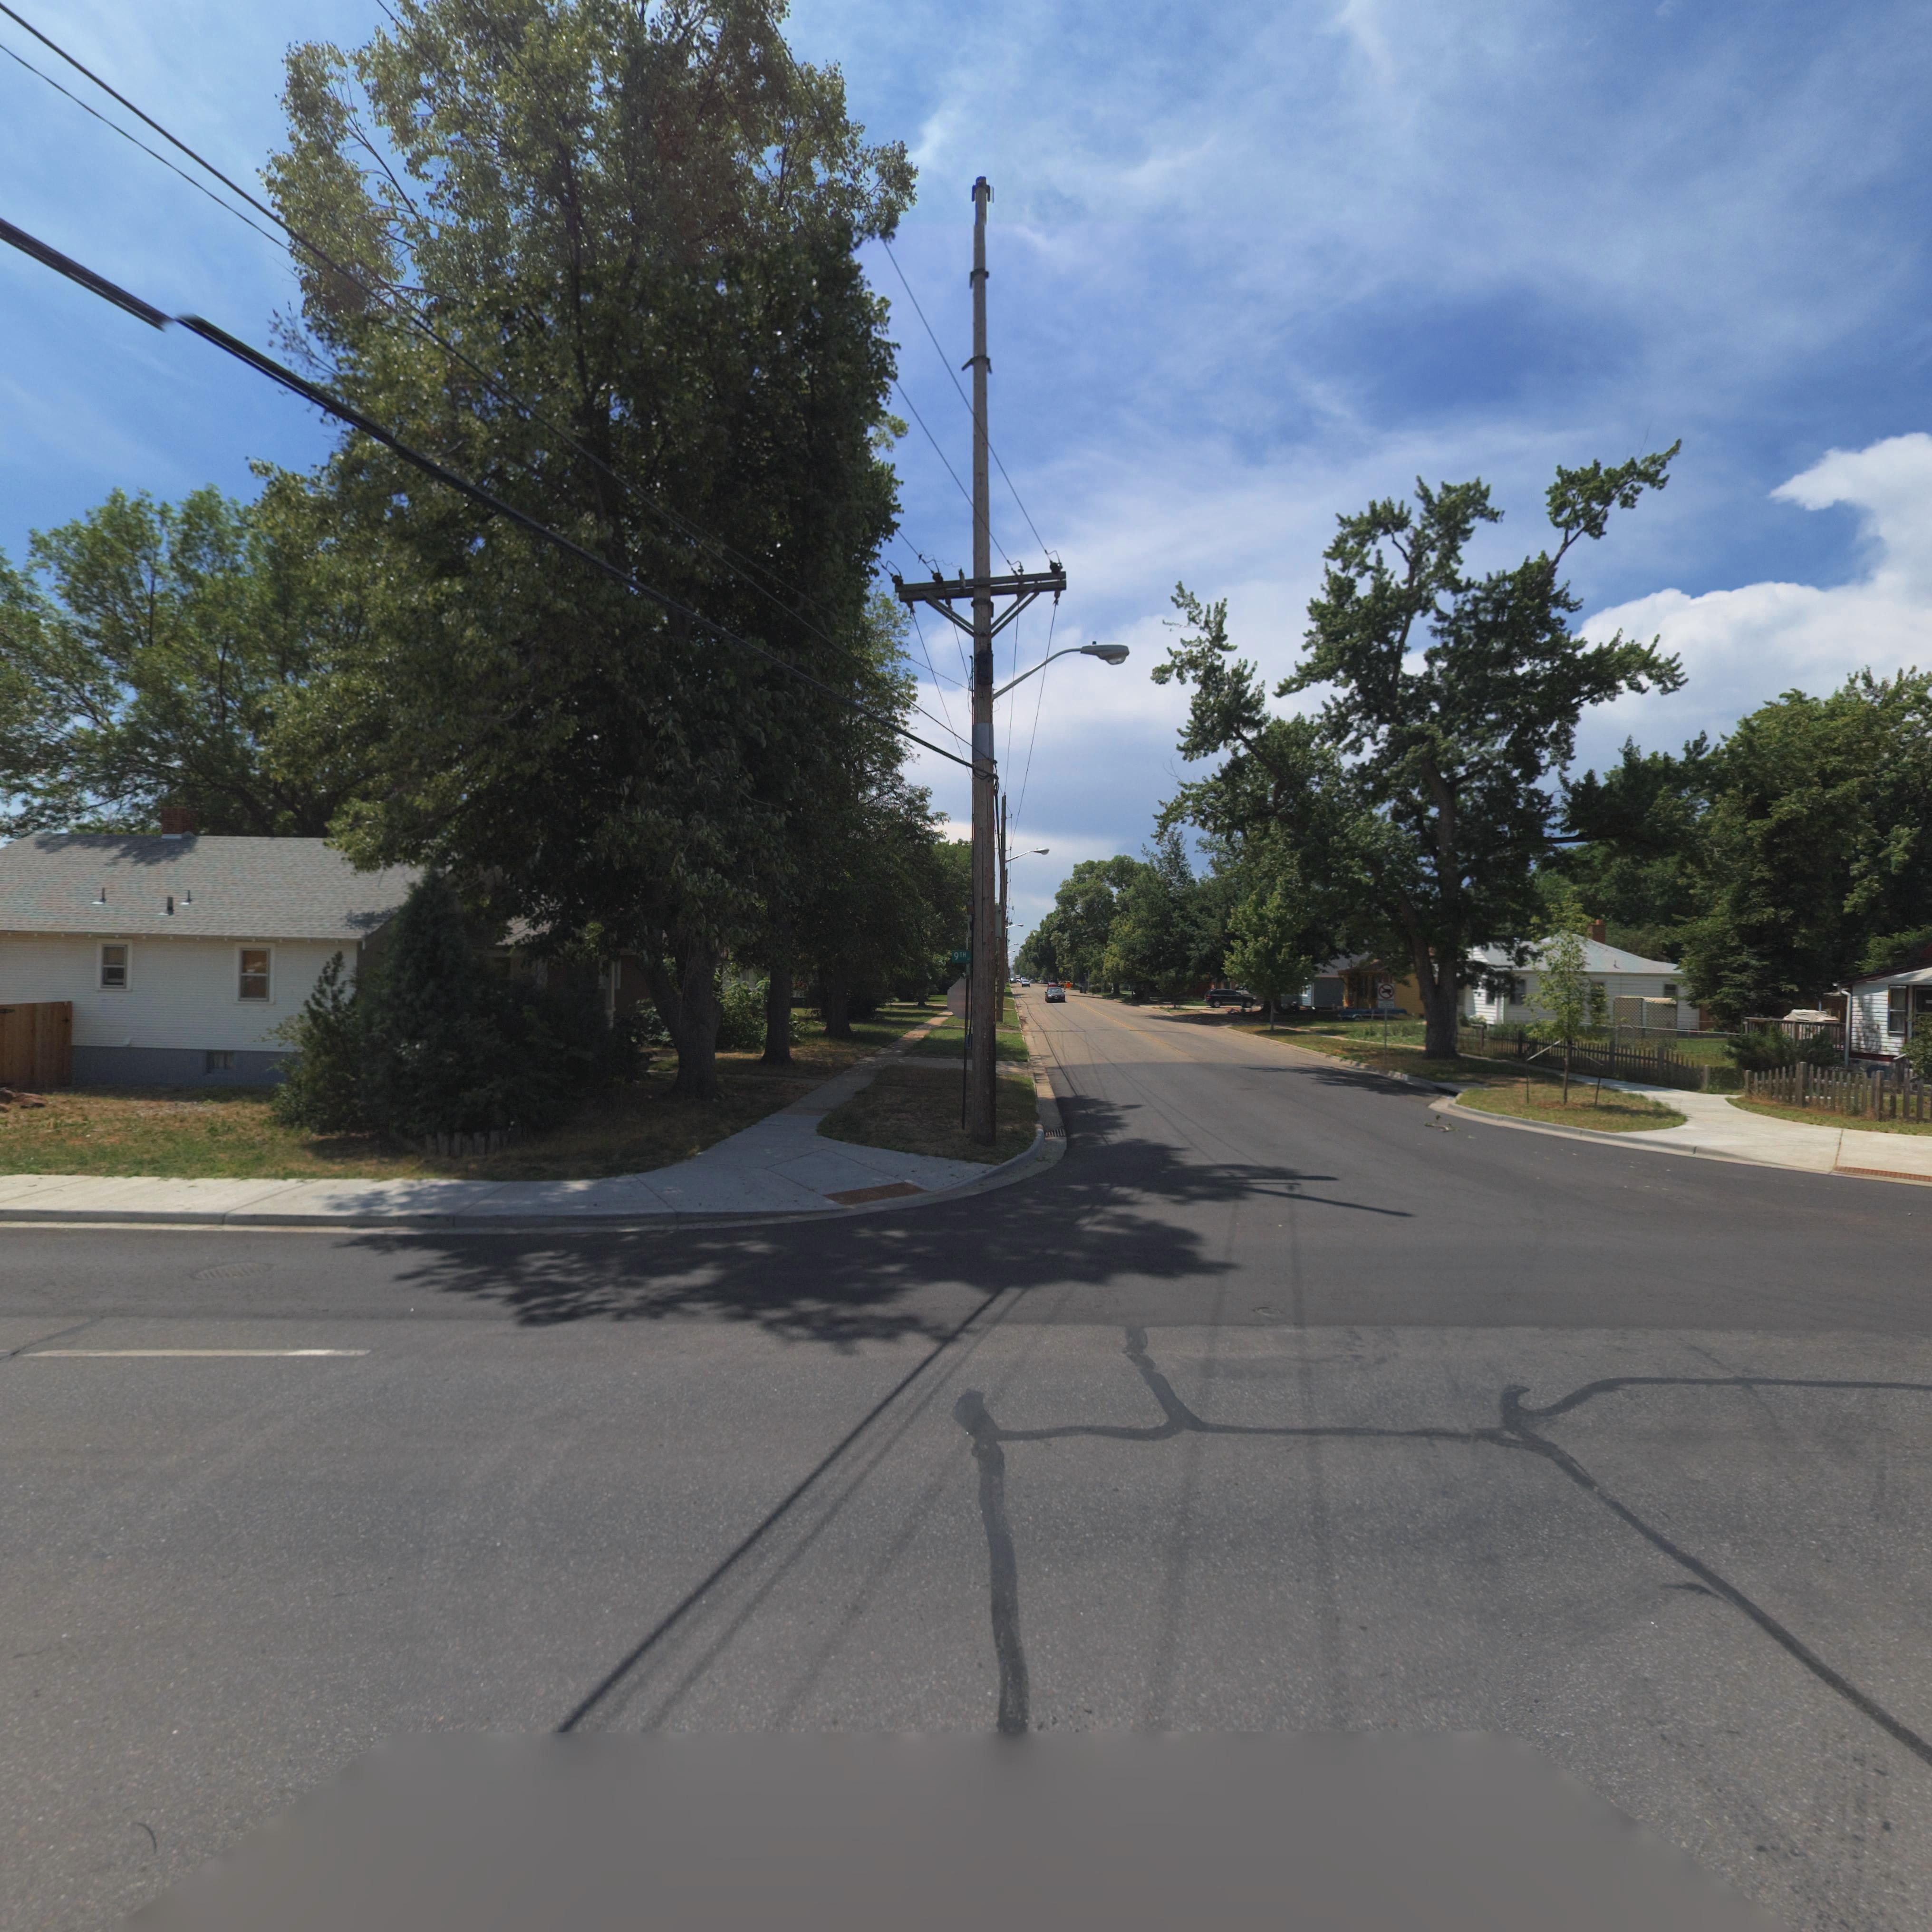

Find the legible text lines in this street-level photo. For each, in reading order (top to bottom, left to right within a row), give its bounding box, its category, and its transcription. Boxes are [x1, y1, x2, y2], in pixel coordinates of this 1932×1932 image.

[954, 951, 966, 961] StreetName: 9TH